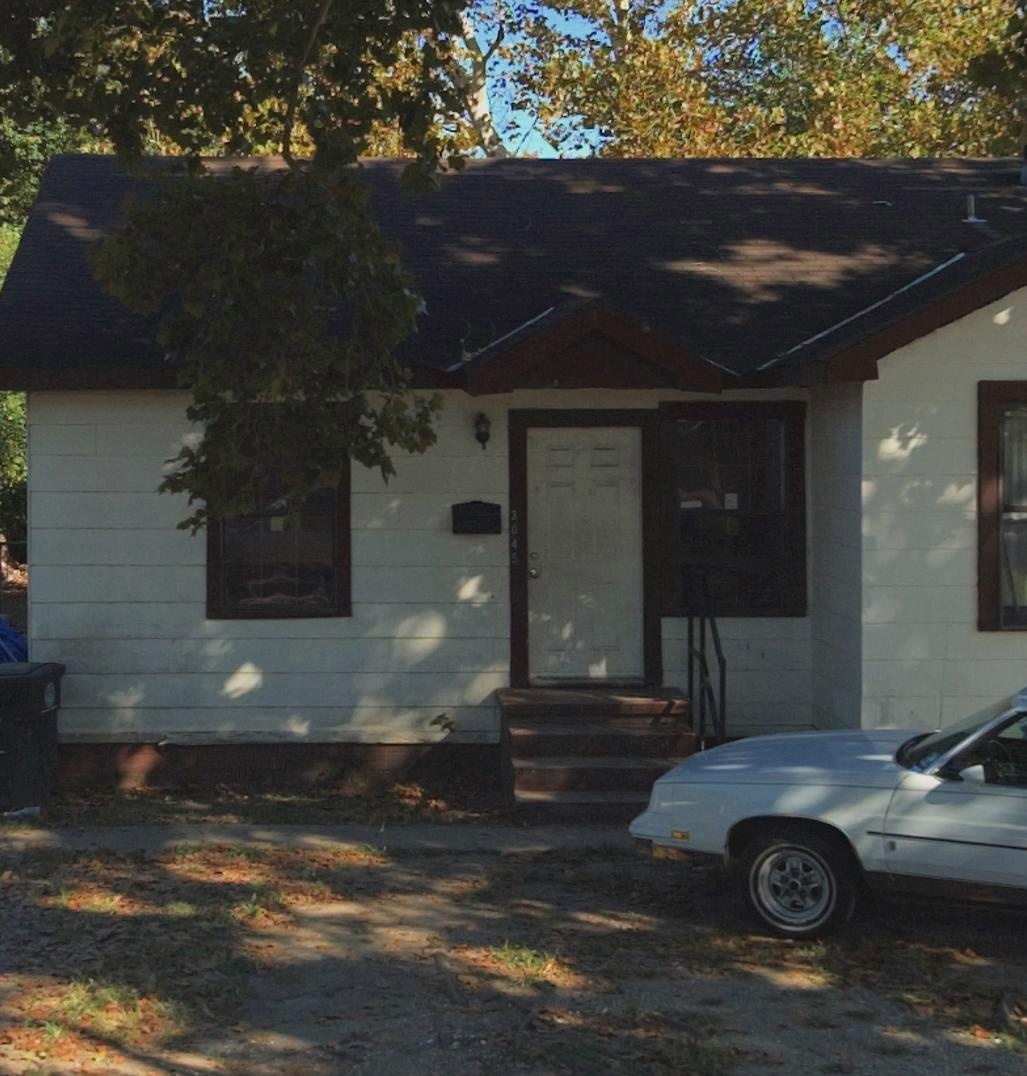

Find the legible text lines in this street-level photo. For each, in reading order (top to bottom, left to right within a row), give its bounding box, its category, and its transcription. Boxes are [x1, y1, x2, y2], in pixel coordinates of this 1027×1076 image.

[509, 508, 520, 566] StreetNumber: 3045